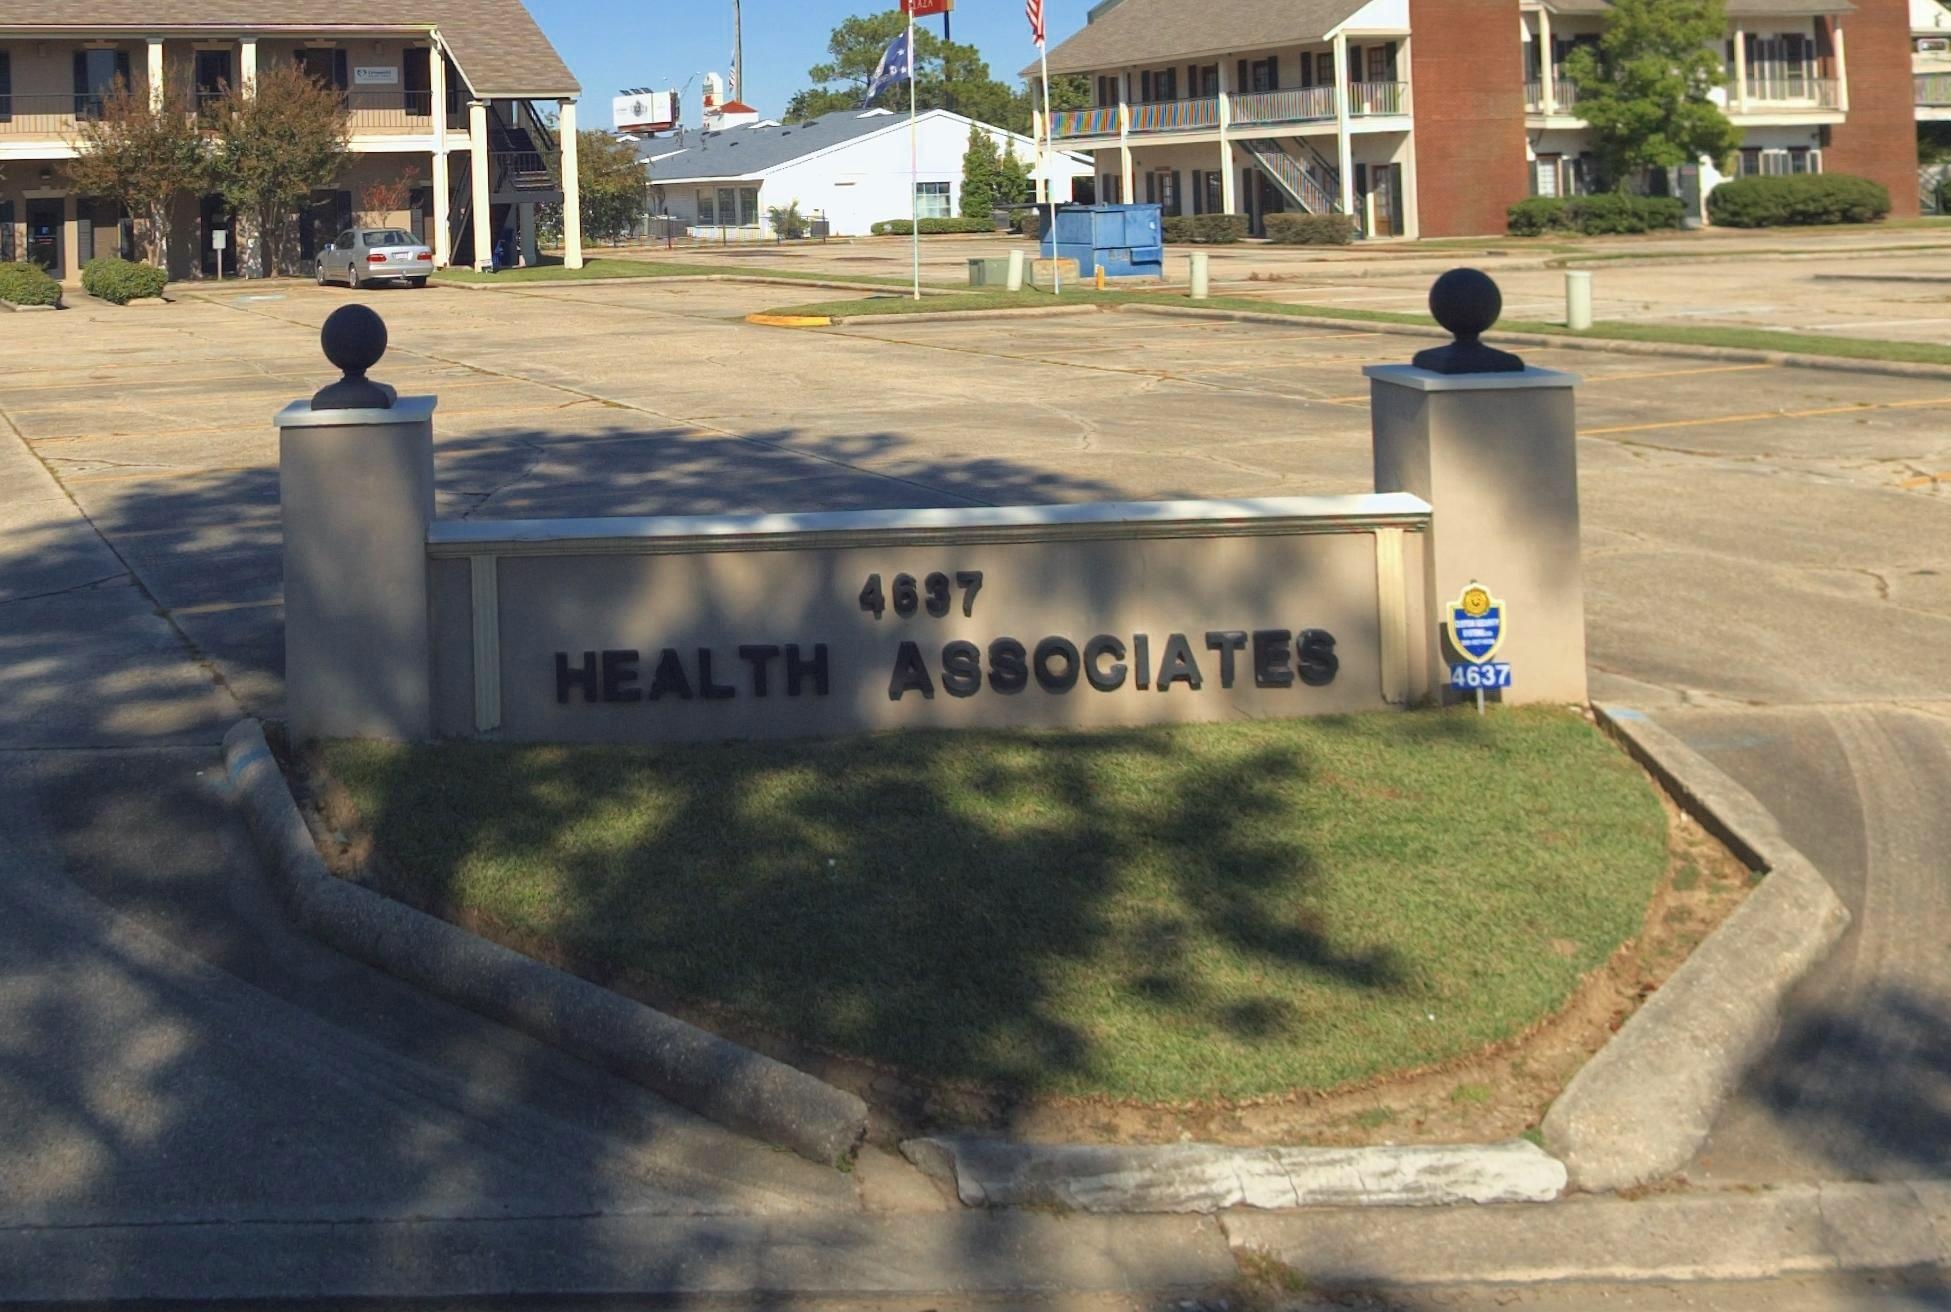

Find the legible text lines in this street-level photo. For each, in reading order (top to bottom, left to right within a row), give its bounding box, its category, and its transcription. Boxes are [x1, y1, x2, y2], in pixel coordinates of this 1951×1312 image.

[856, 568, 986, 622] StreetNumber: 4637
[550, 624, 1340, 712] BusinessName: HEALTH ASSOCIATES
[1451, 663, 1511, 688] StreetNumber: 4637